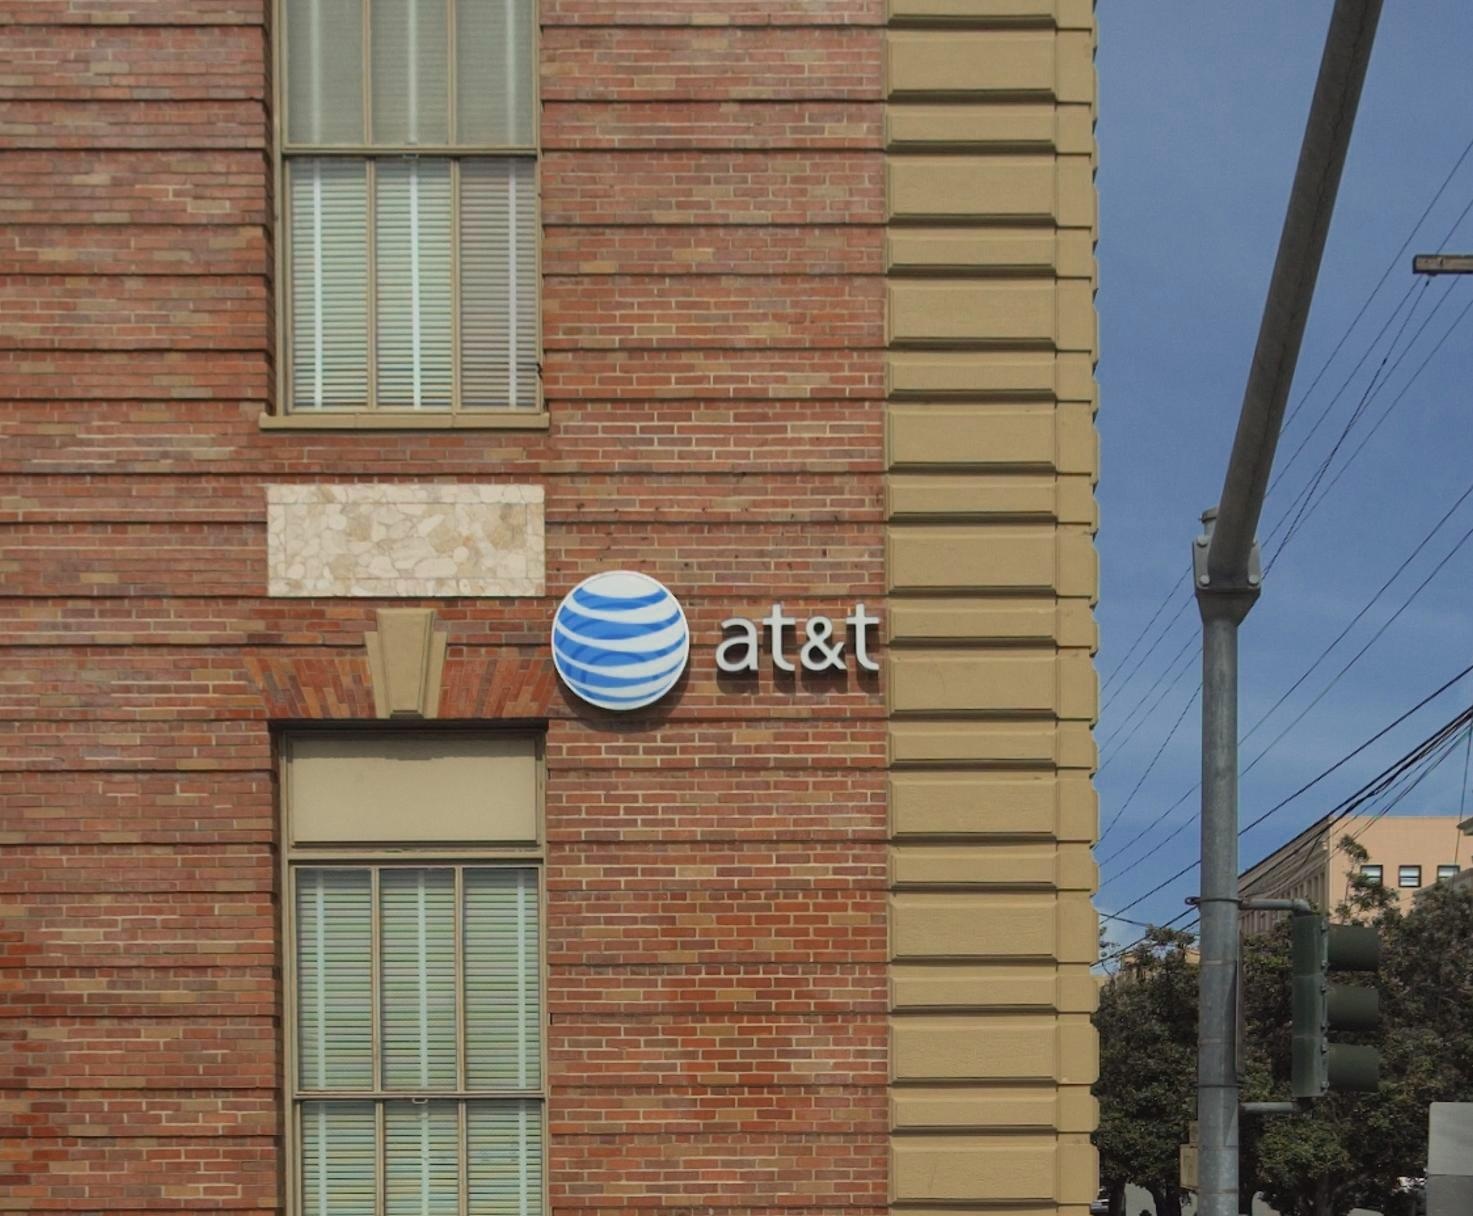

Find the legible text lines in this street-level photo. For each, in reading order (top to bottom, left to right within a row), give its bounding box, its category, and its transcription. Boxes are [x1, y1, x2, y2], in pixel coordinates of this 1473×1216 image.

[713, 601, 882, 675] BusinessName: at&t